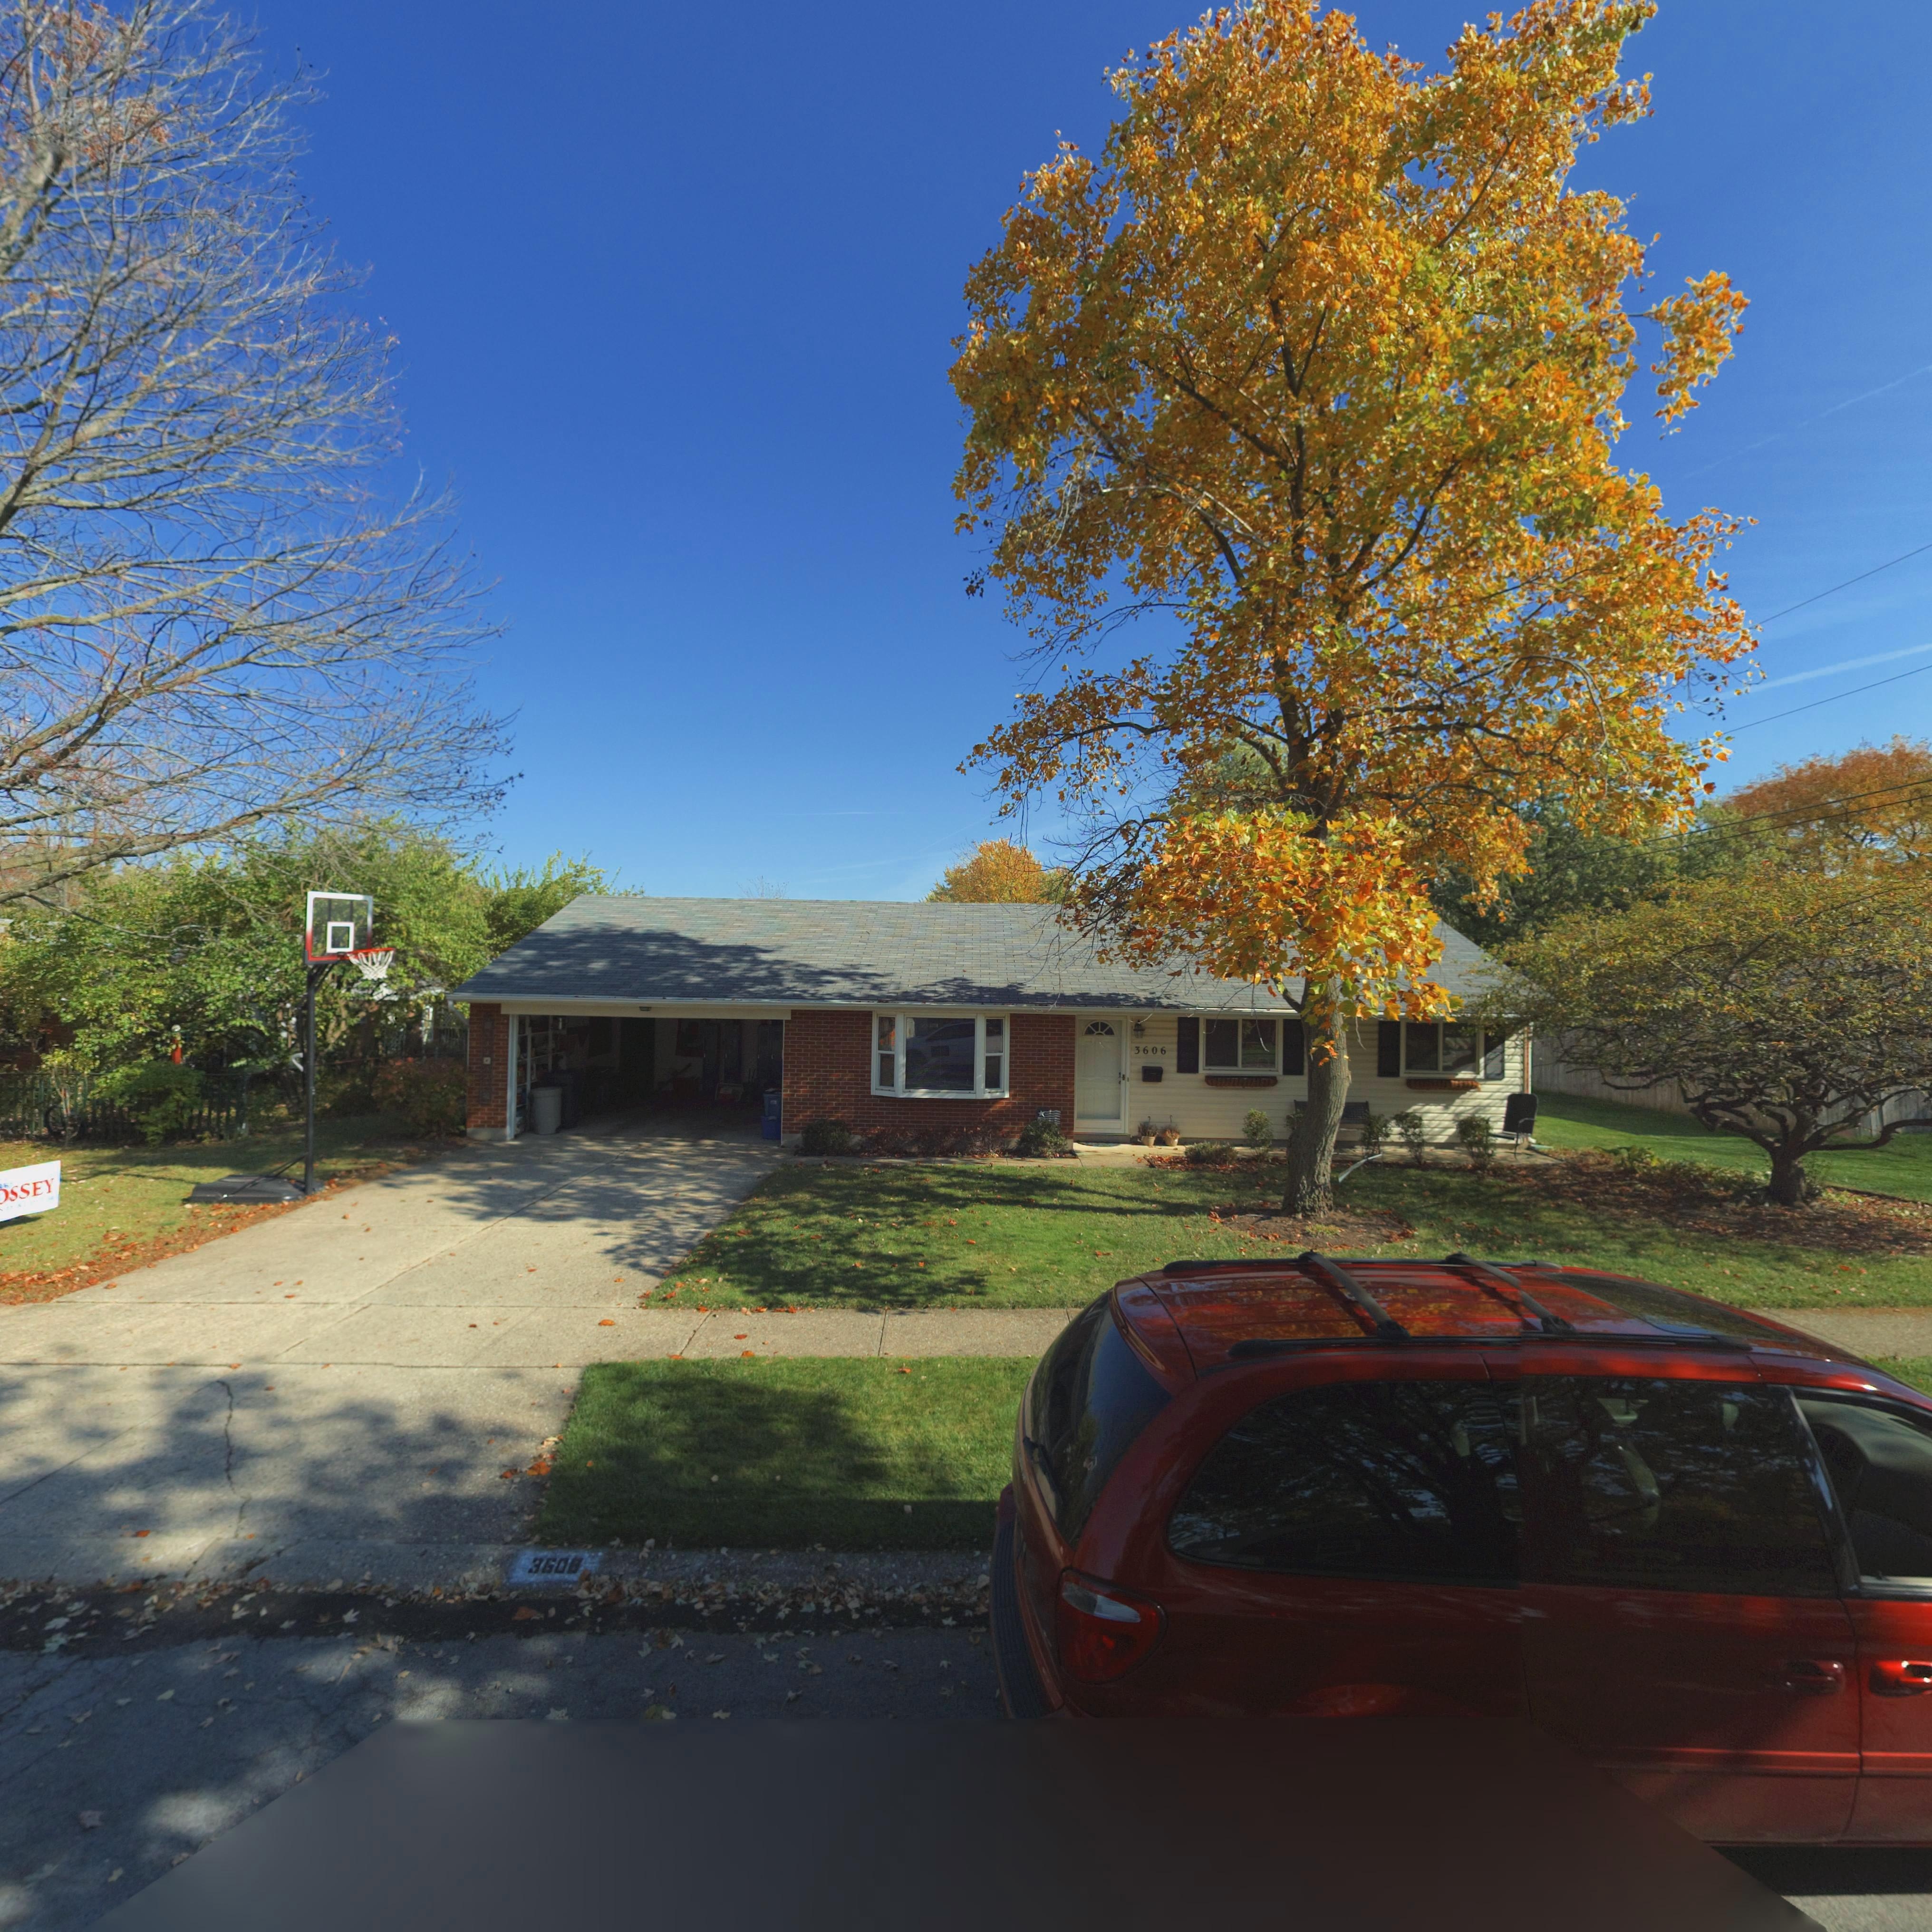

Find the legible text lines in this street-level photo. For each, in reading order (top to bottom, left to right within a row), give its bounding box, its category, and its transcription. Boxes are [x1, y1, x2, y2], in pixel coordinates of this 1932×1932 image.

[1134, 1046, 1167, 1055] StreetNumber: 3606
[9, 1176, 55, 1203] None: SSEY
[526, 1556, 585, 1575] StreetNumber: 3608